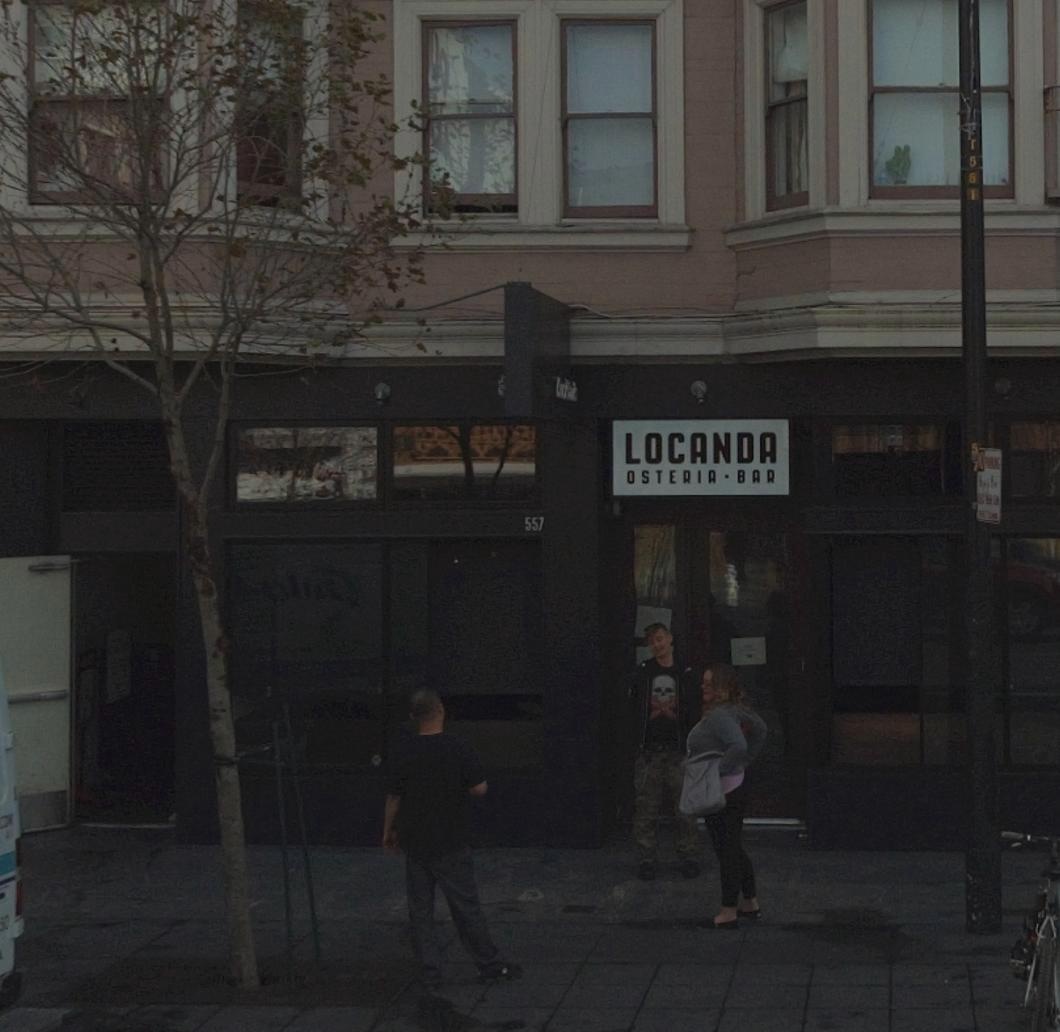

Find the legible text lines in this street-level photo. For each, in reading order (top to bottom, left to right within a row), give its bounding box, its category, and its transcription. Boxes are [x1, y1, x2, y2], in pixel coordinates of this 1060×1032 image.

[967, 154, 976, 201] None: 561
[624, 431, 776, 463] BusinessName: LOCANDA
[626, 468, 775, 484] BusinessName: OSTERIA * BAR
[524, 516, 545, 532] StreetNumber: 557